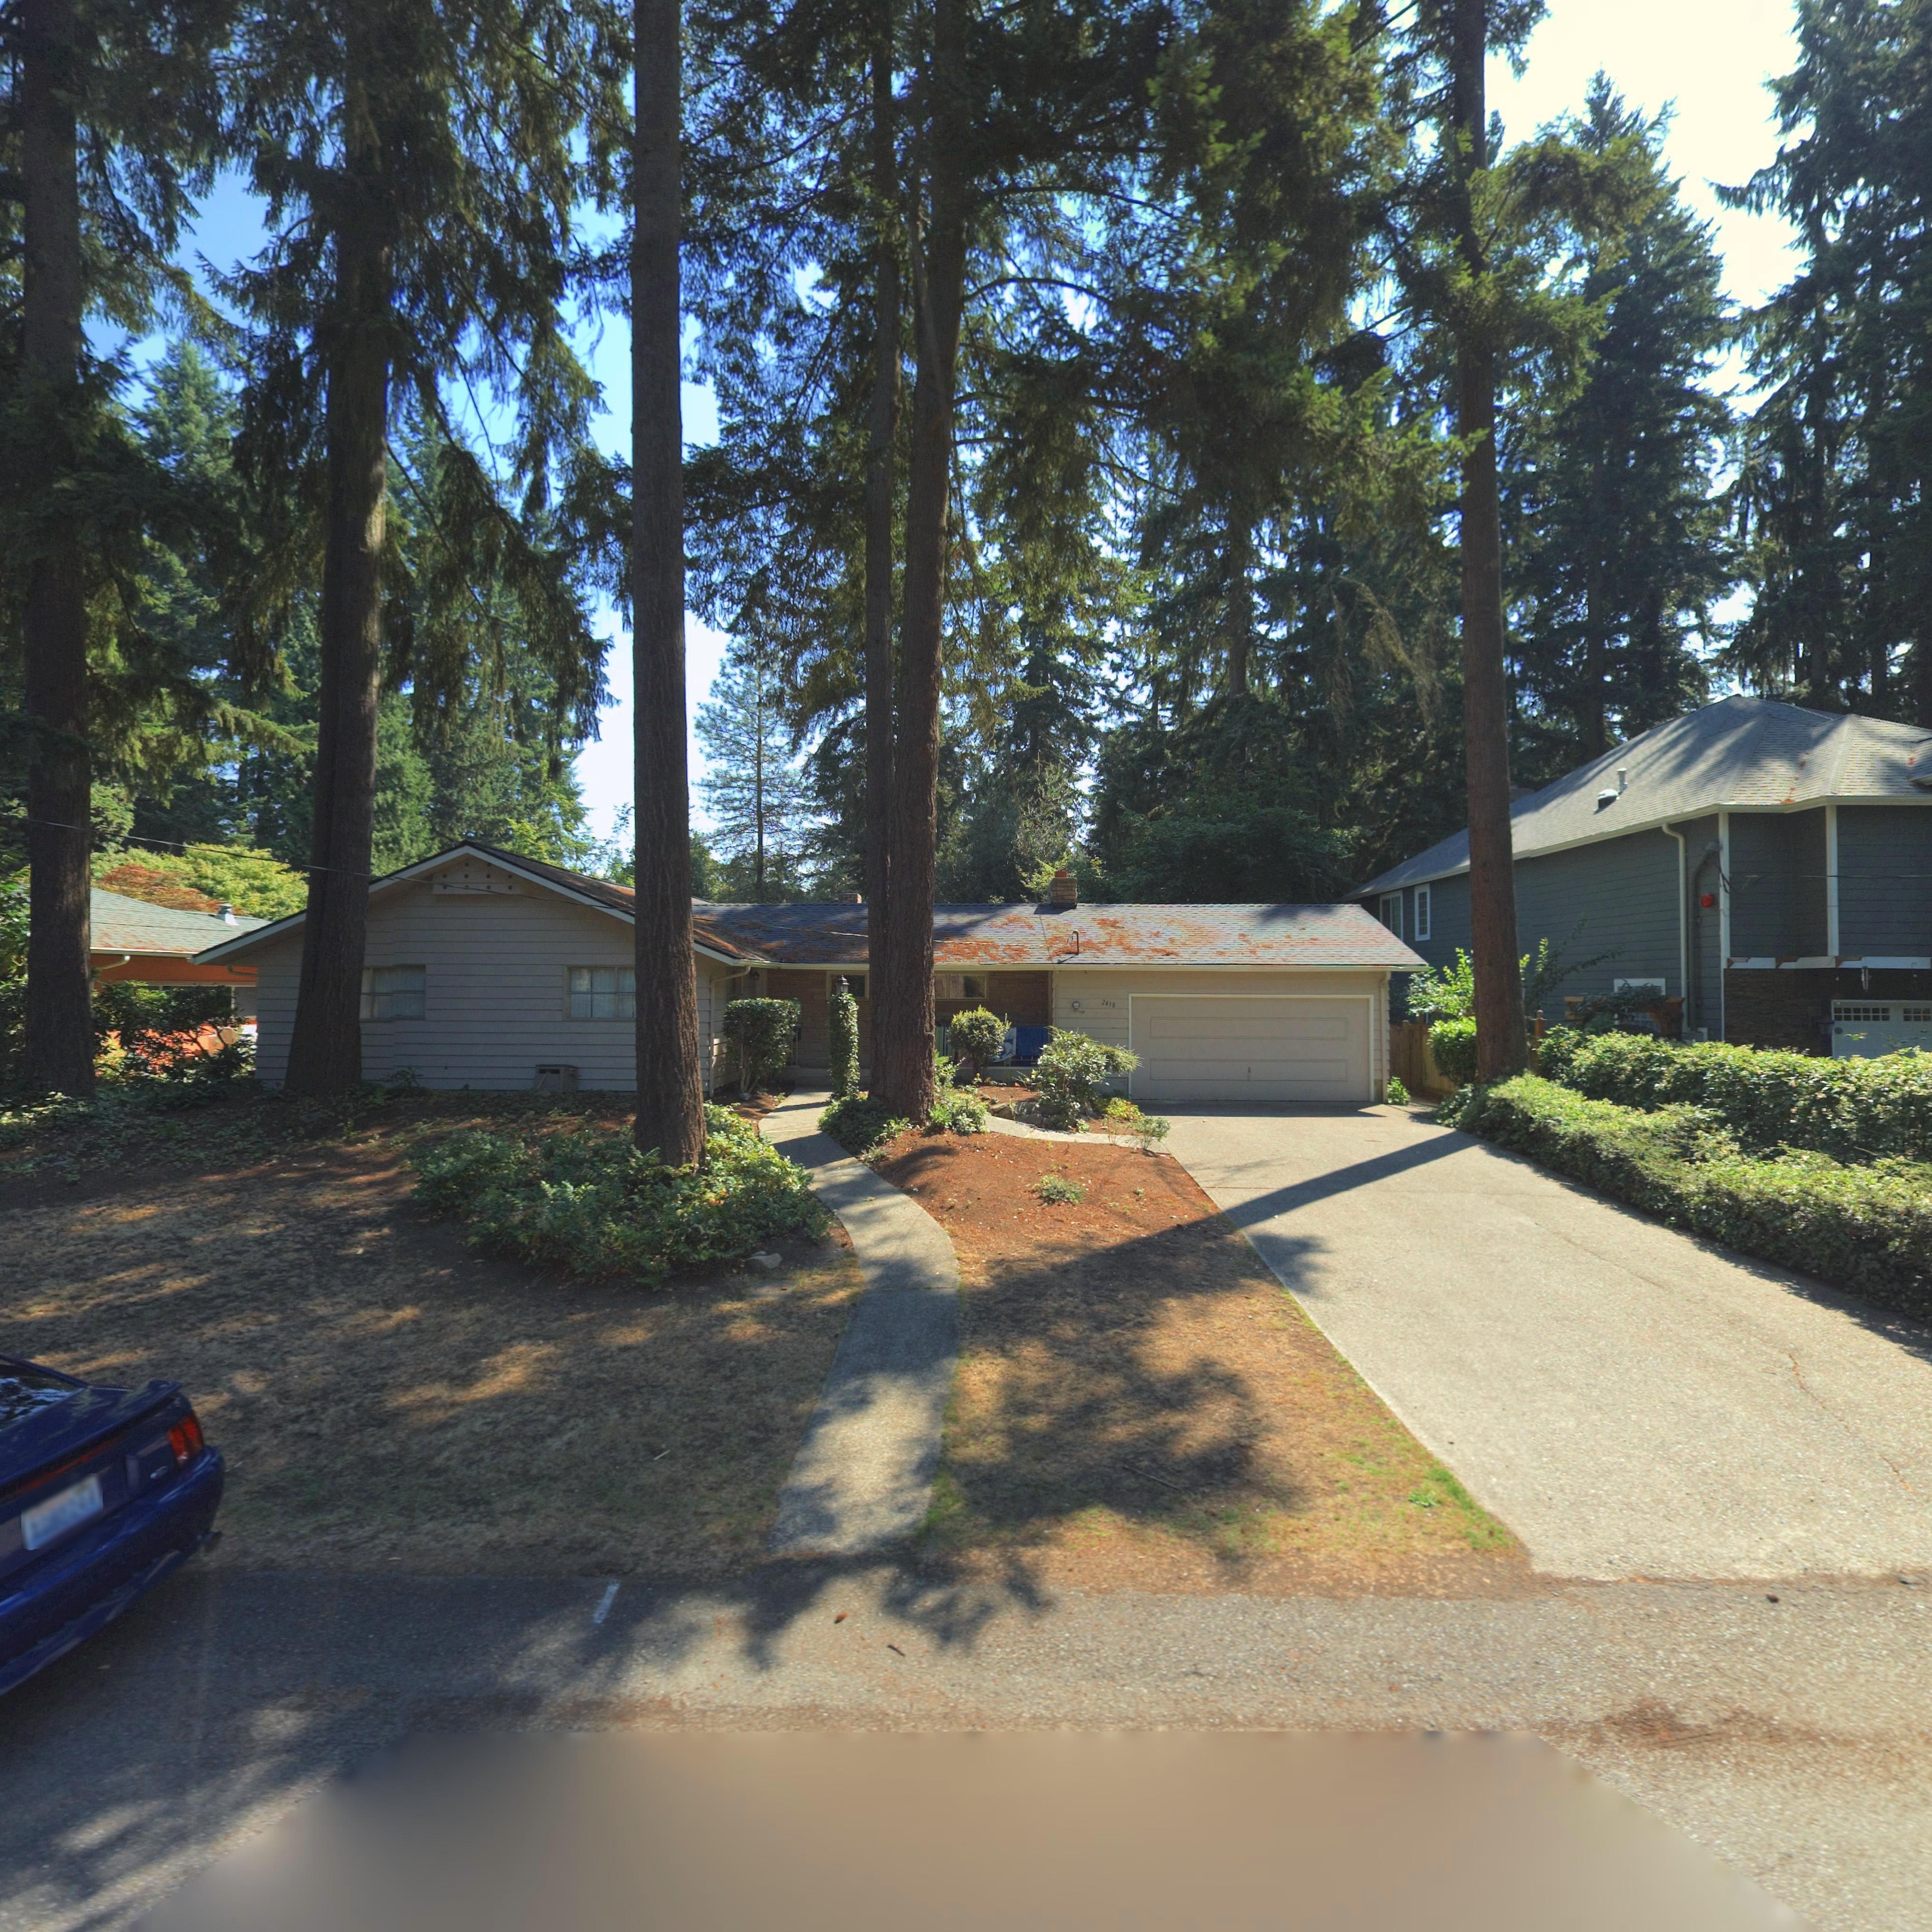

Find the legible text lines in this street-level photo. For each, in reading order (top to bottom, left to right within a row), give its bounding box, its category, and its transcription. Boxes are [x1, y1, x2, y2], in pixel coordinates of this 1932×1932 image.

[1100, 998, 1116, 1008] StreetNumber: 2438